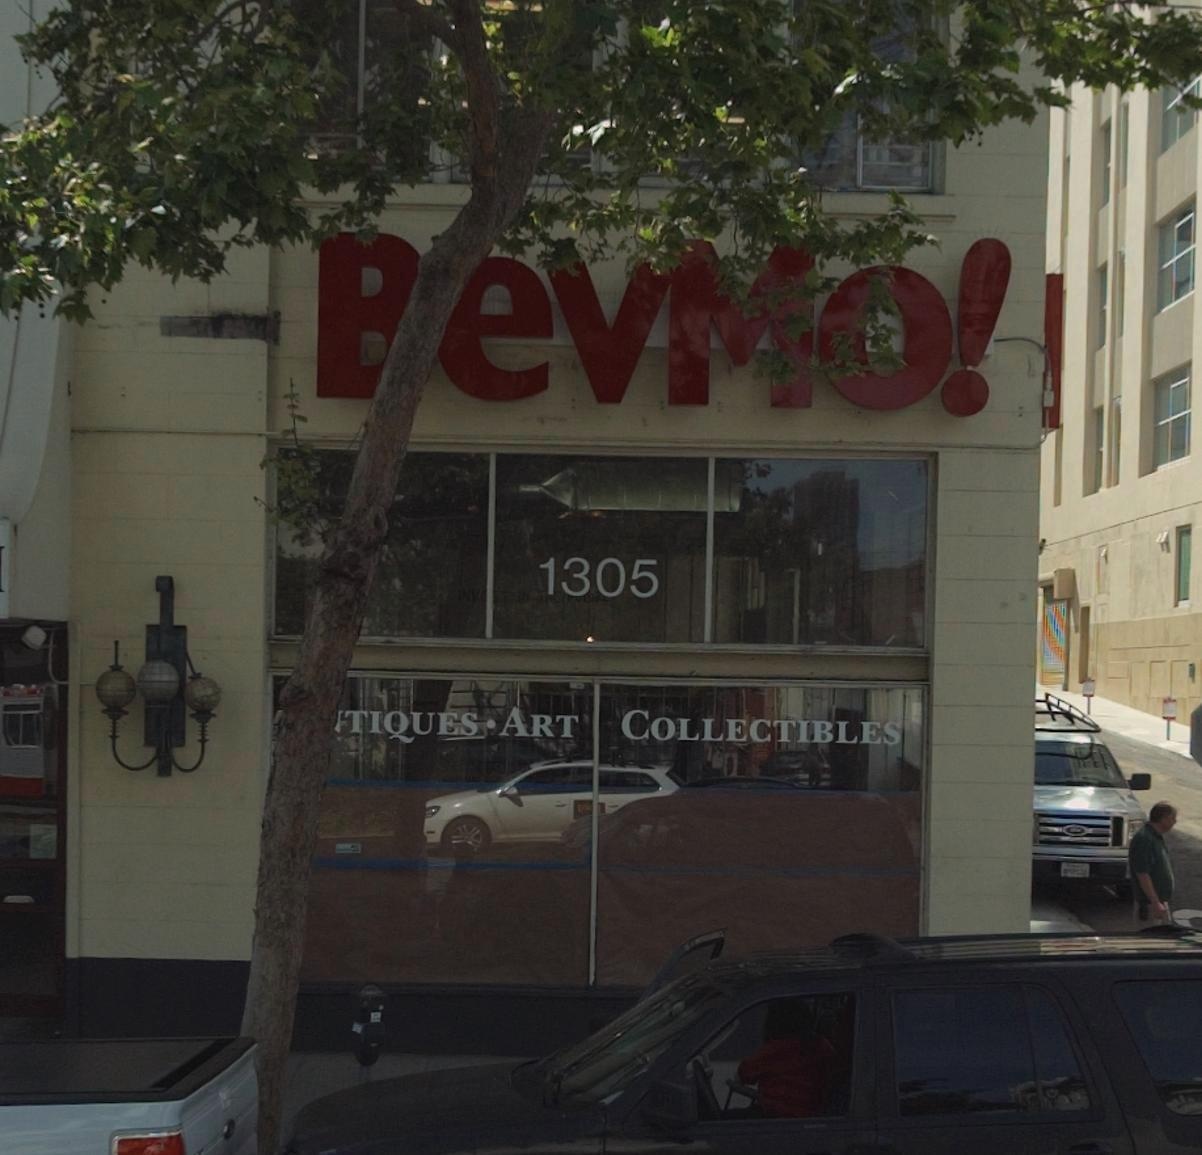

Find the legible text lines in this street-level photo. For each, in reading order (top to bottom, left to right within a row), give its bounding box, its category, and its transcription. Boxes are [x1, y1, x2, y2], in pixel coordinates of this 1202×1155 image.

[312, 218, 1015, 421] BusinessName: *eVMo!
[535, 553, 661, 601] StreetNumber: 1305
[342, 704, 905, 748] None: TIQUES*ART COLLECTIBLES